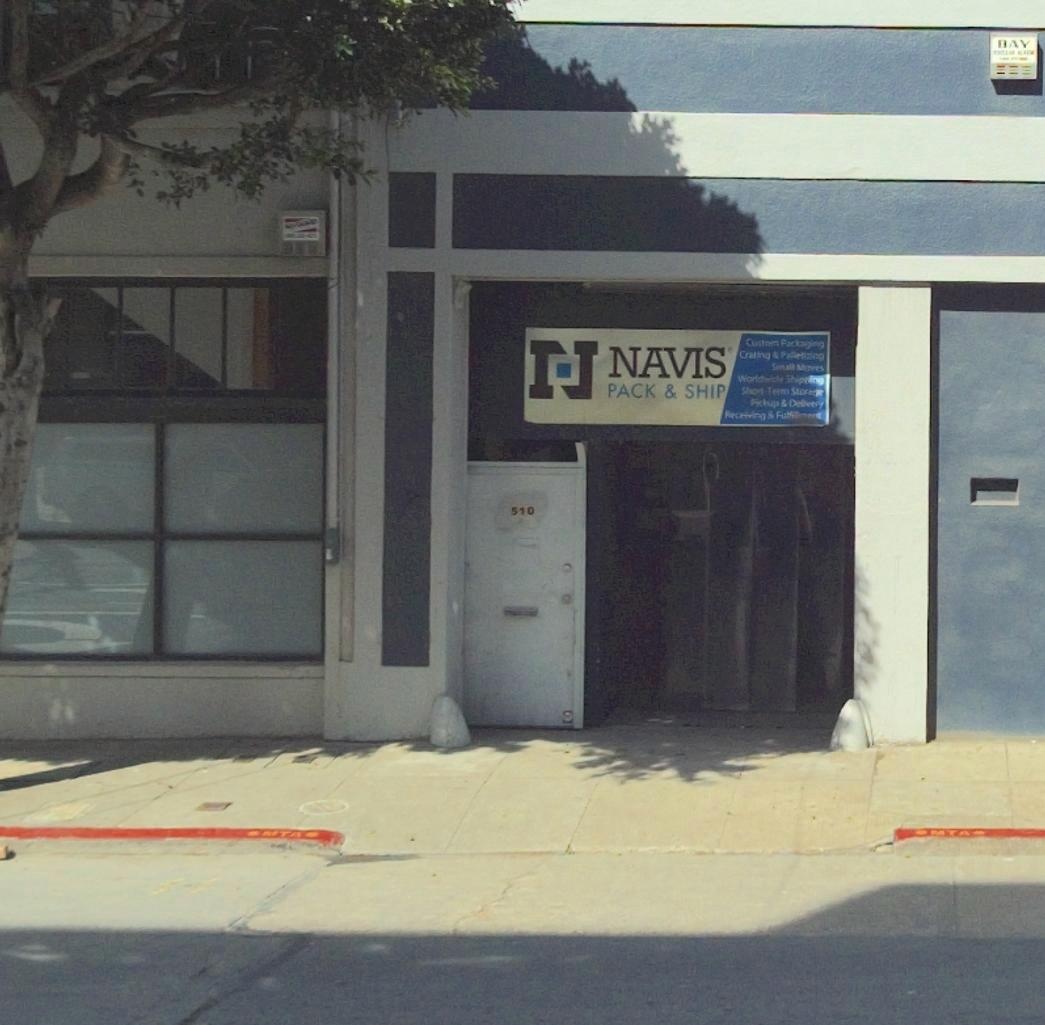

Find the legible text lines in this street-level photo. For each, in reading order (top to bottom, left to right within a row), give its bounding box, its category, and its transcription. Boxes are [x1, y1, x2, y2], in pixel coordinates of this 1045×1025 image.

[995, 37, 1034, 53] None: BAY
[743, 335, 827, 351] None: Custom Pac*a*ing
[606, 344, 731, 382] BusinessName: NAVIS
[737, 348, 748, 362] None: C
[779, 347, 788, 363] None: P
[769, 361, 798, 373] None: Small
[793, 350, 826, 364] None: elizing
[736, 372, 765, 386] None: World
[783, 372, 826, 387] None: Shipping
[604, 381, 731, 401] None: PACK & SHIP
[739, 383, 825, 398] None: Sho*t*Te** Stor**e
[749, 396, 825, 411] None: Pickups & Delivery
[775, 408, 782, 421] None: F
[509, 503, 538, 519] StreetNumber: 510